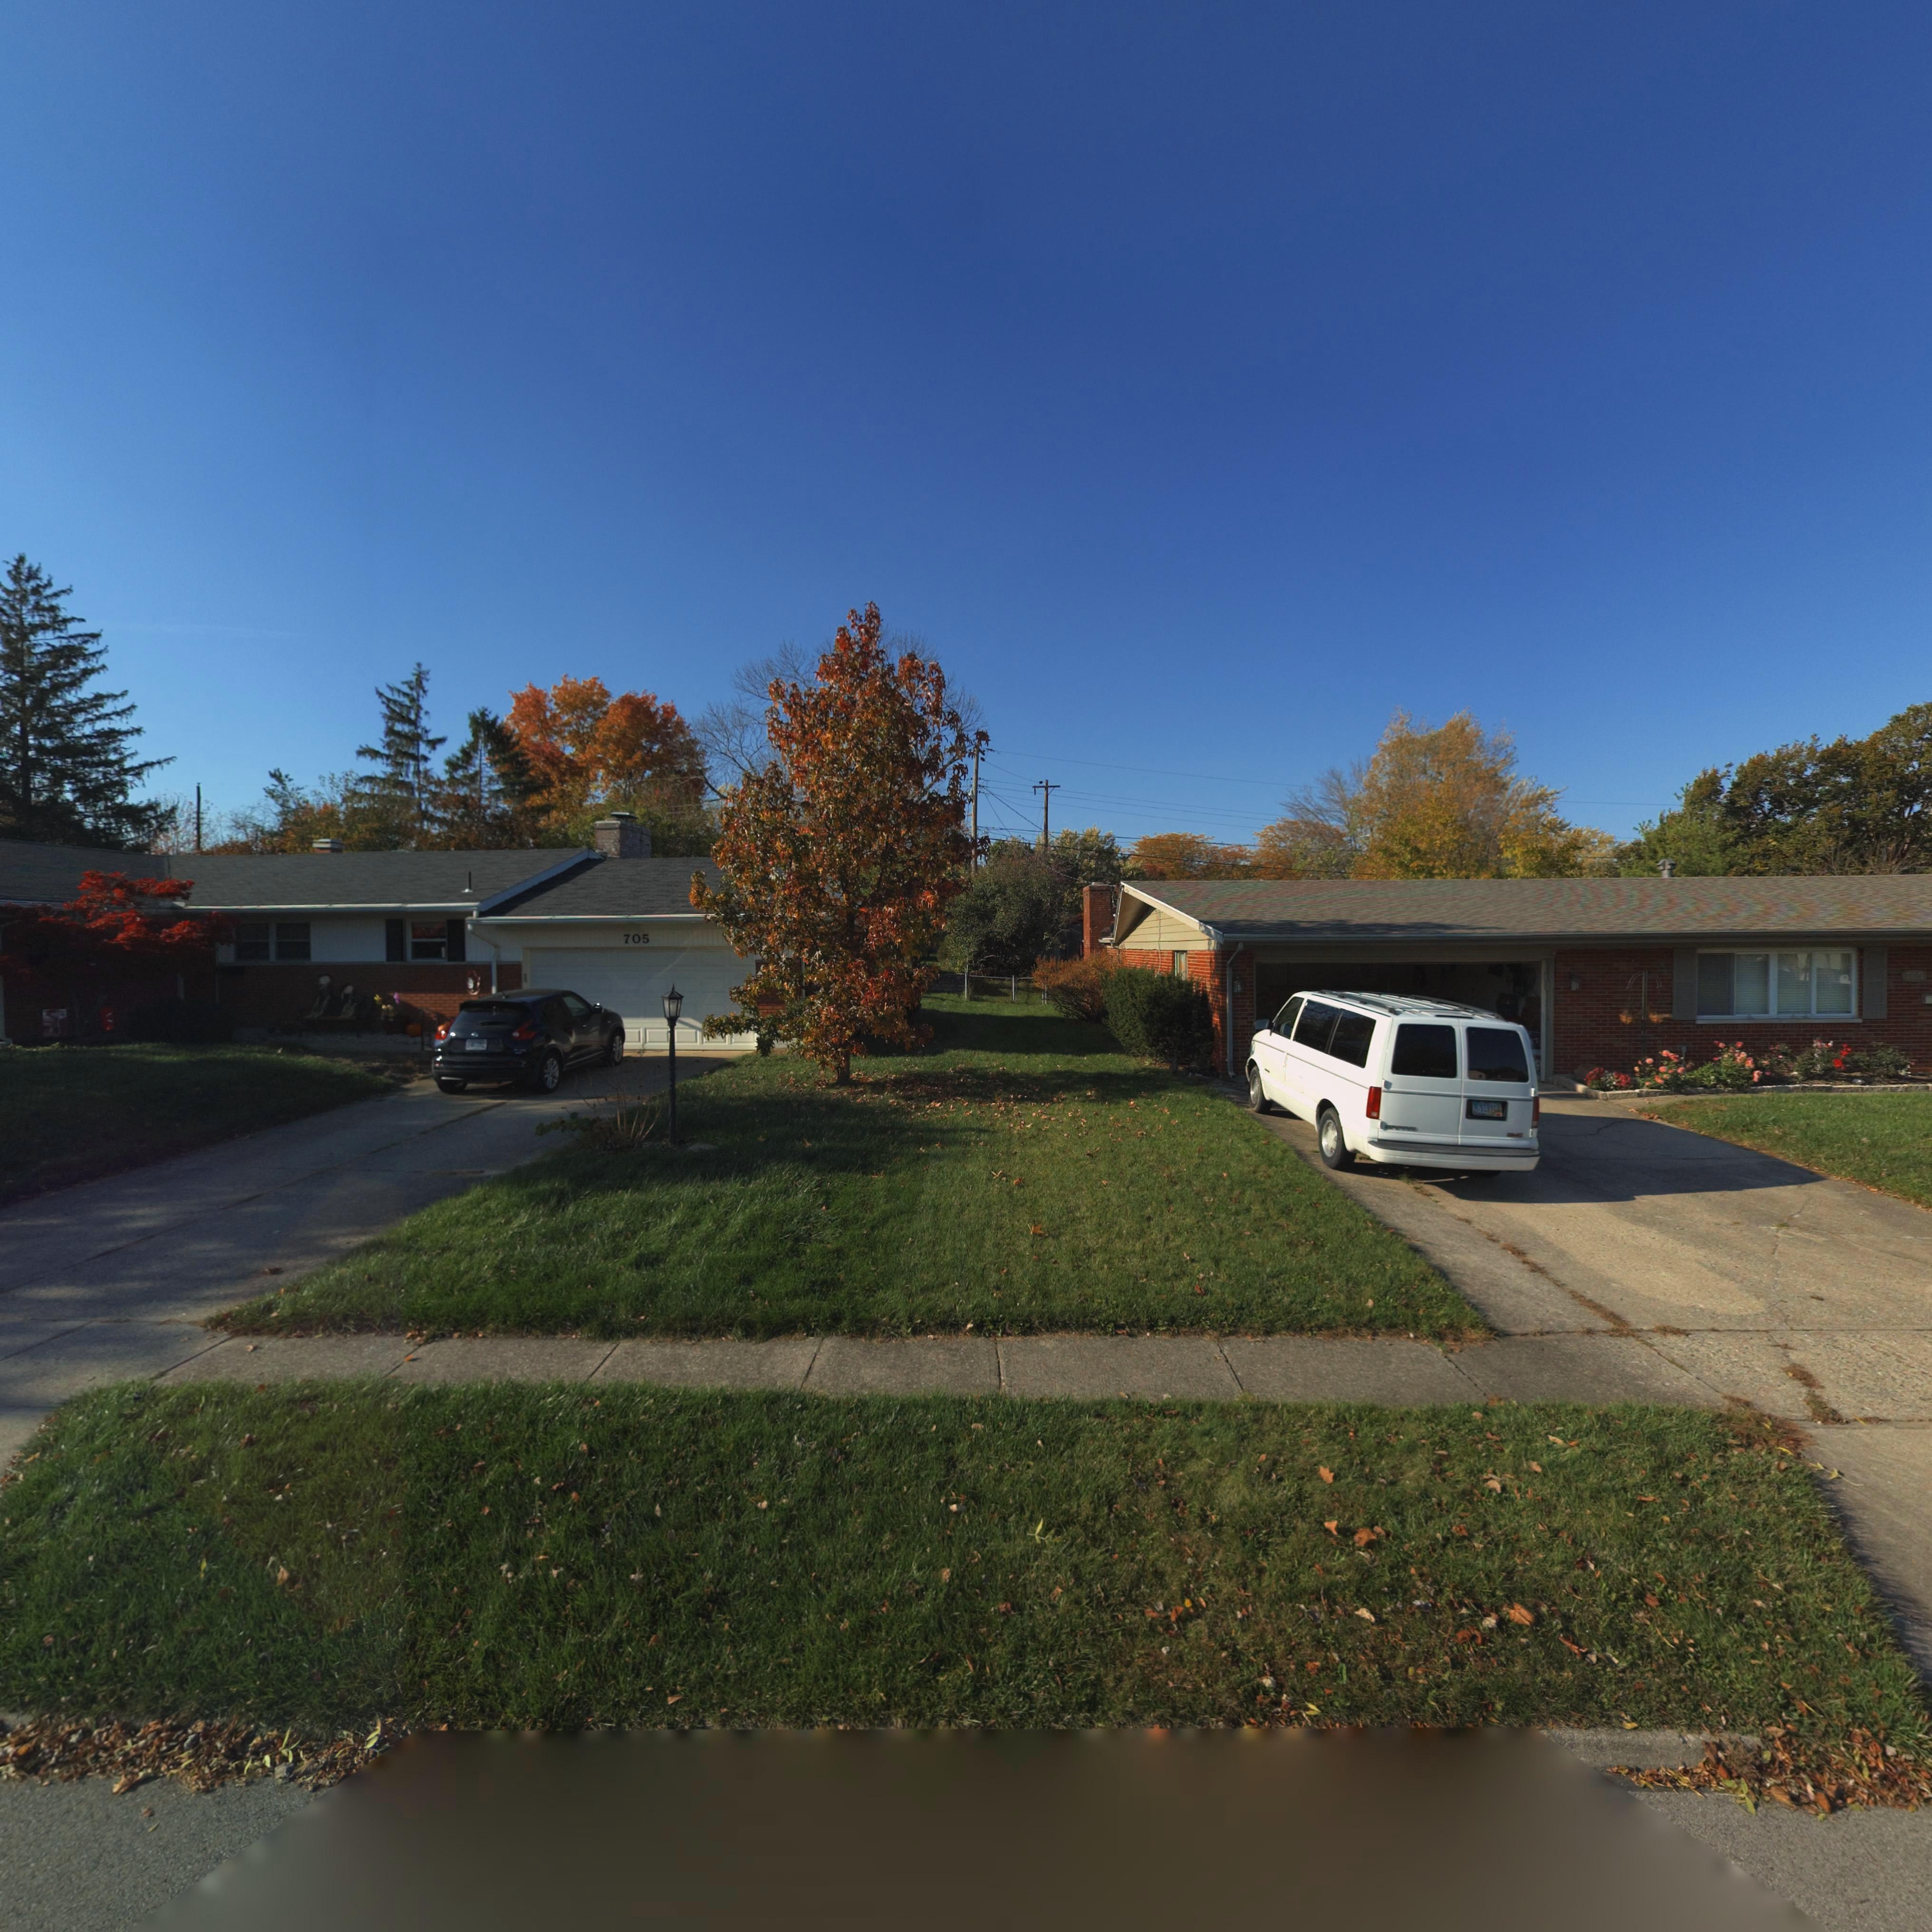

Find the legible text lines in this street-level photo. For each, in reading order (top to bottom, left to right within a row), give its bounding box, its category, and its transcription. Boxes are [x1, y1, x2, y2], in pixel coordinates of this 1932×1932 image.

[623, 933, 650, 945] StreetNumber: 705